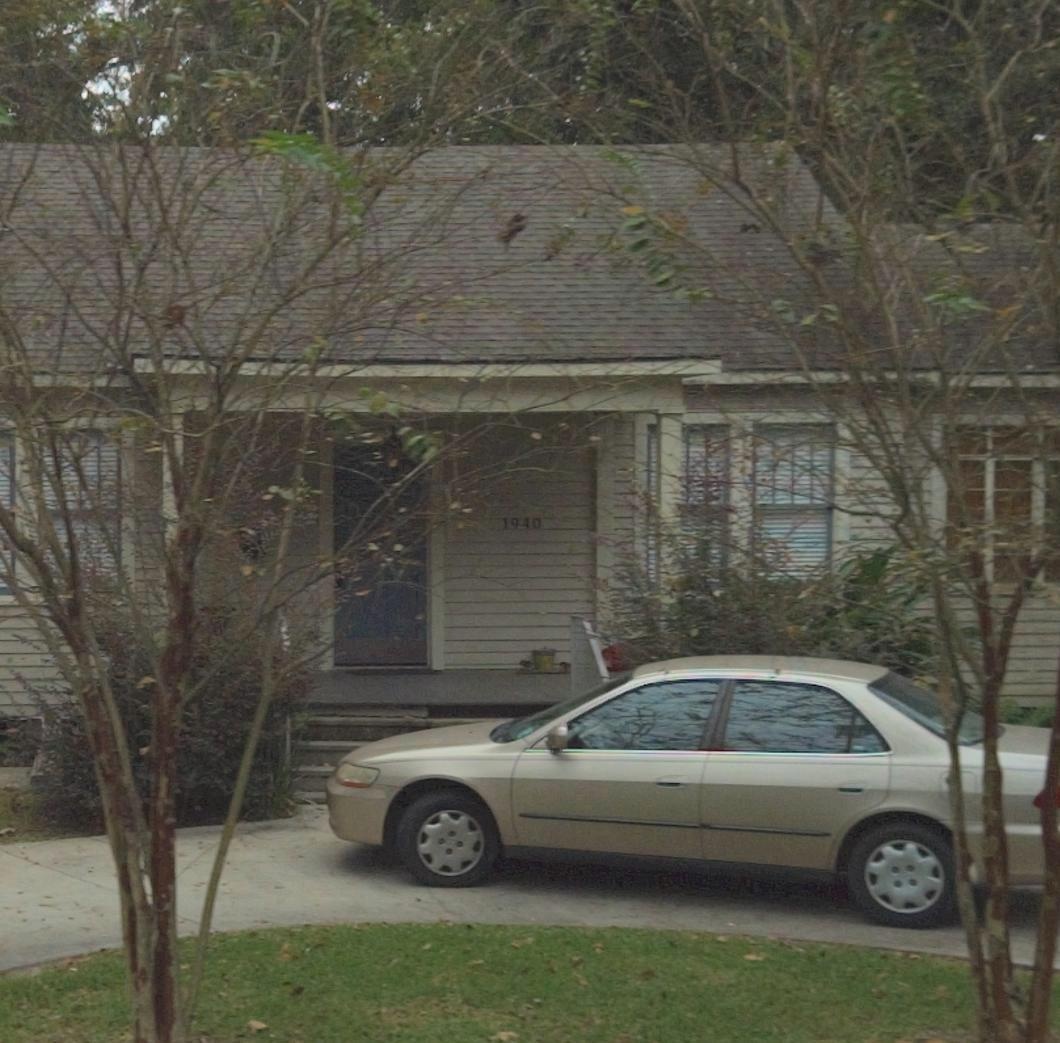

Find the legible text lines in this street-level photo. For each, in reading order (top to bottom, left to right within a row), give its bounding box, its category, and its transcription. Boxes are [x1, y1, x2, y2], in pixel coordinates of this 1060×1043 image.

[501, 516, 543, 529] StreetNumber: 1940